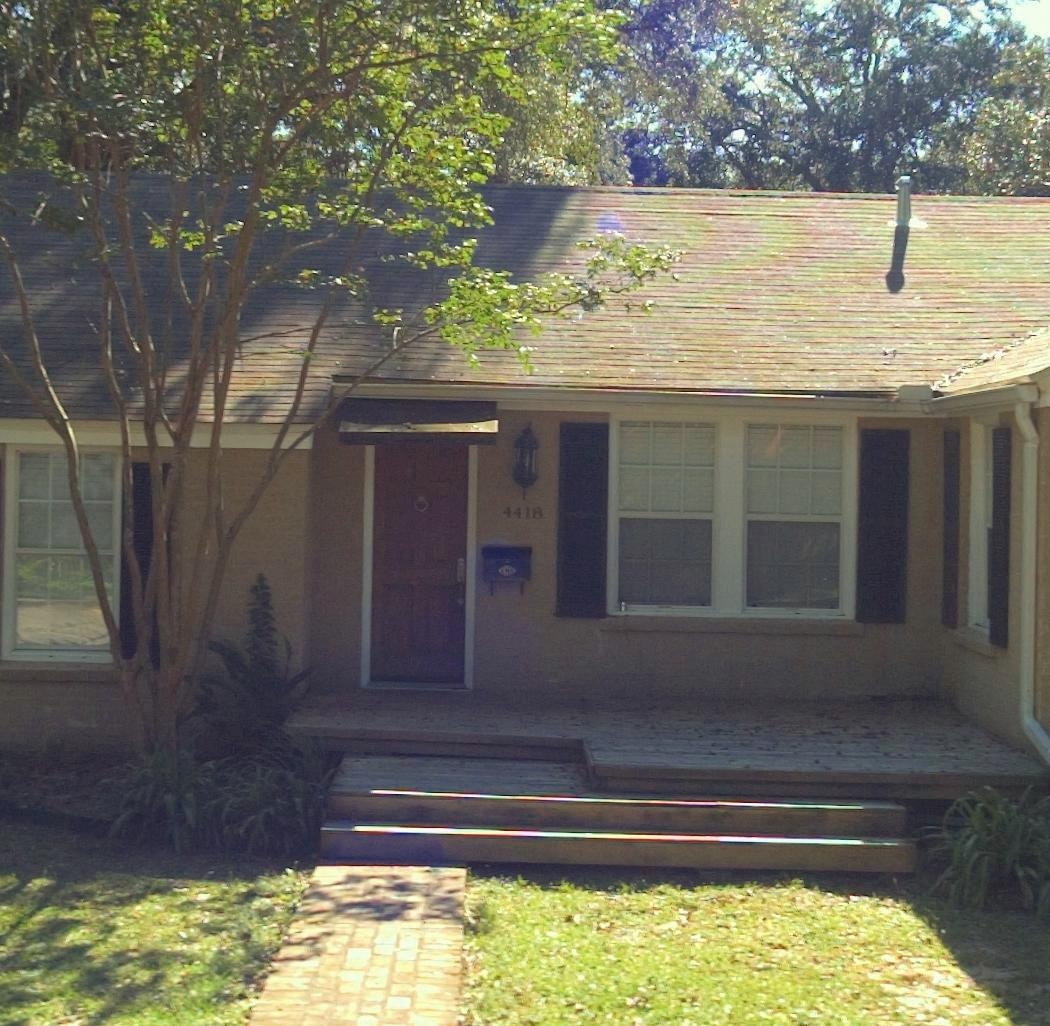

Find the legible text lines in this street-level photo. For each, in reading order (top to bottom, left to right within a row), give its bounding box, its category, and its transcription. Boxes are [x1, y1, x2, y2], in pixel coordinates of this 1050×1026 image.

[499, 503, 545, 522] StreetNumber: 4418